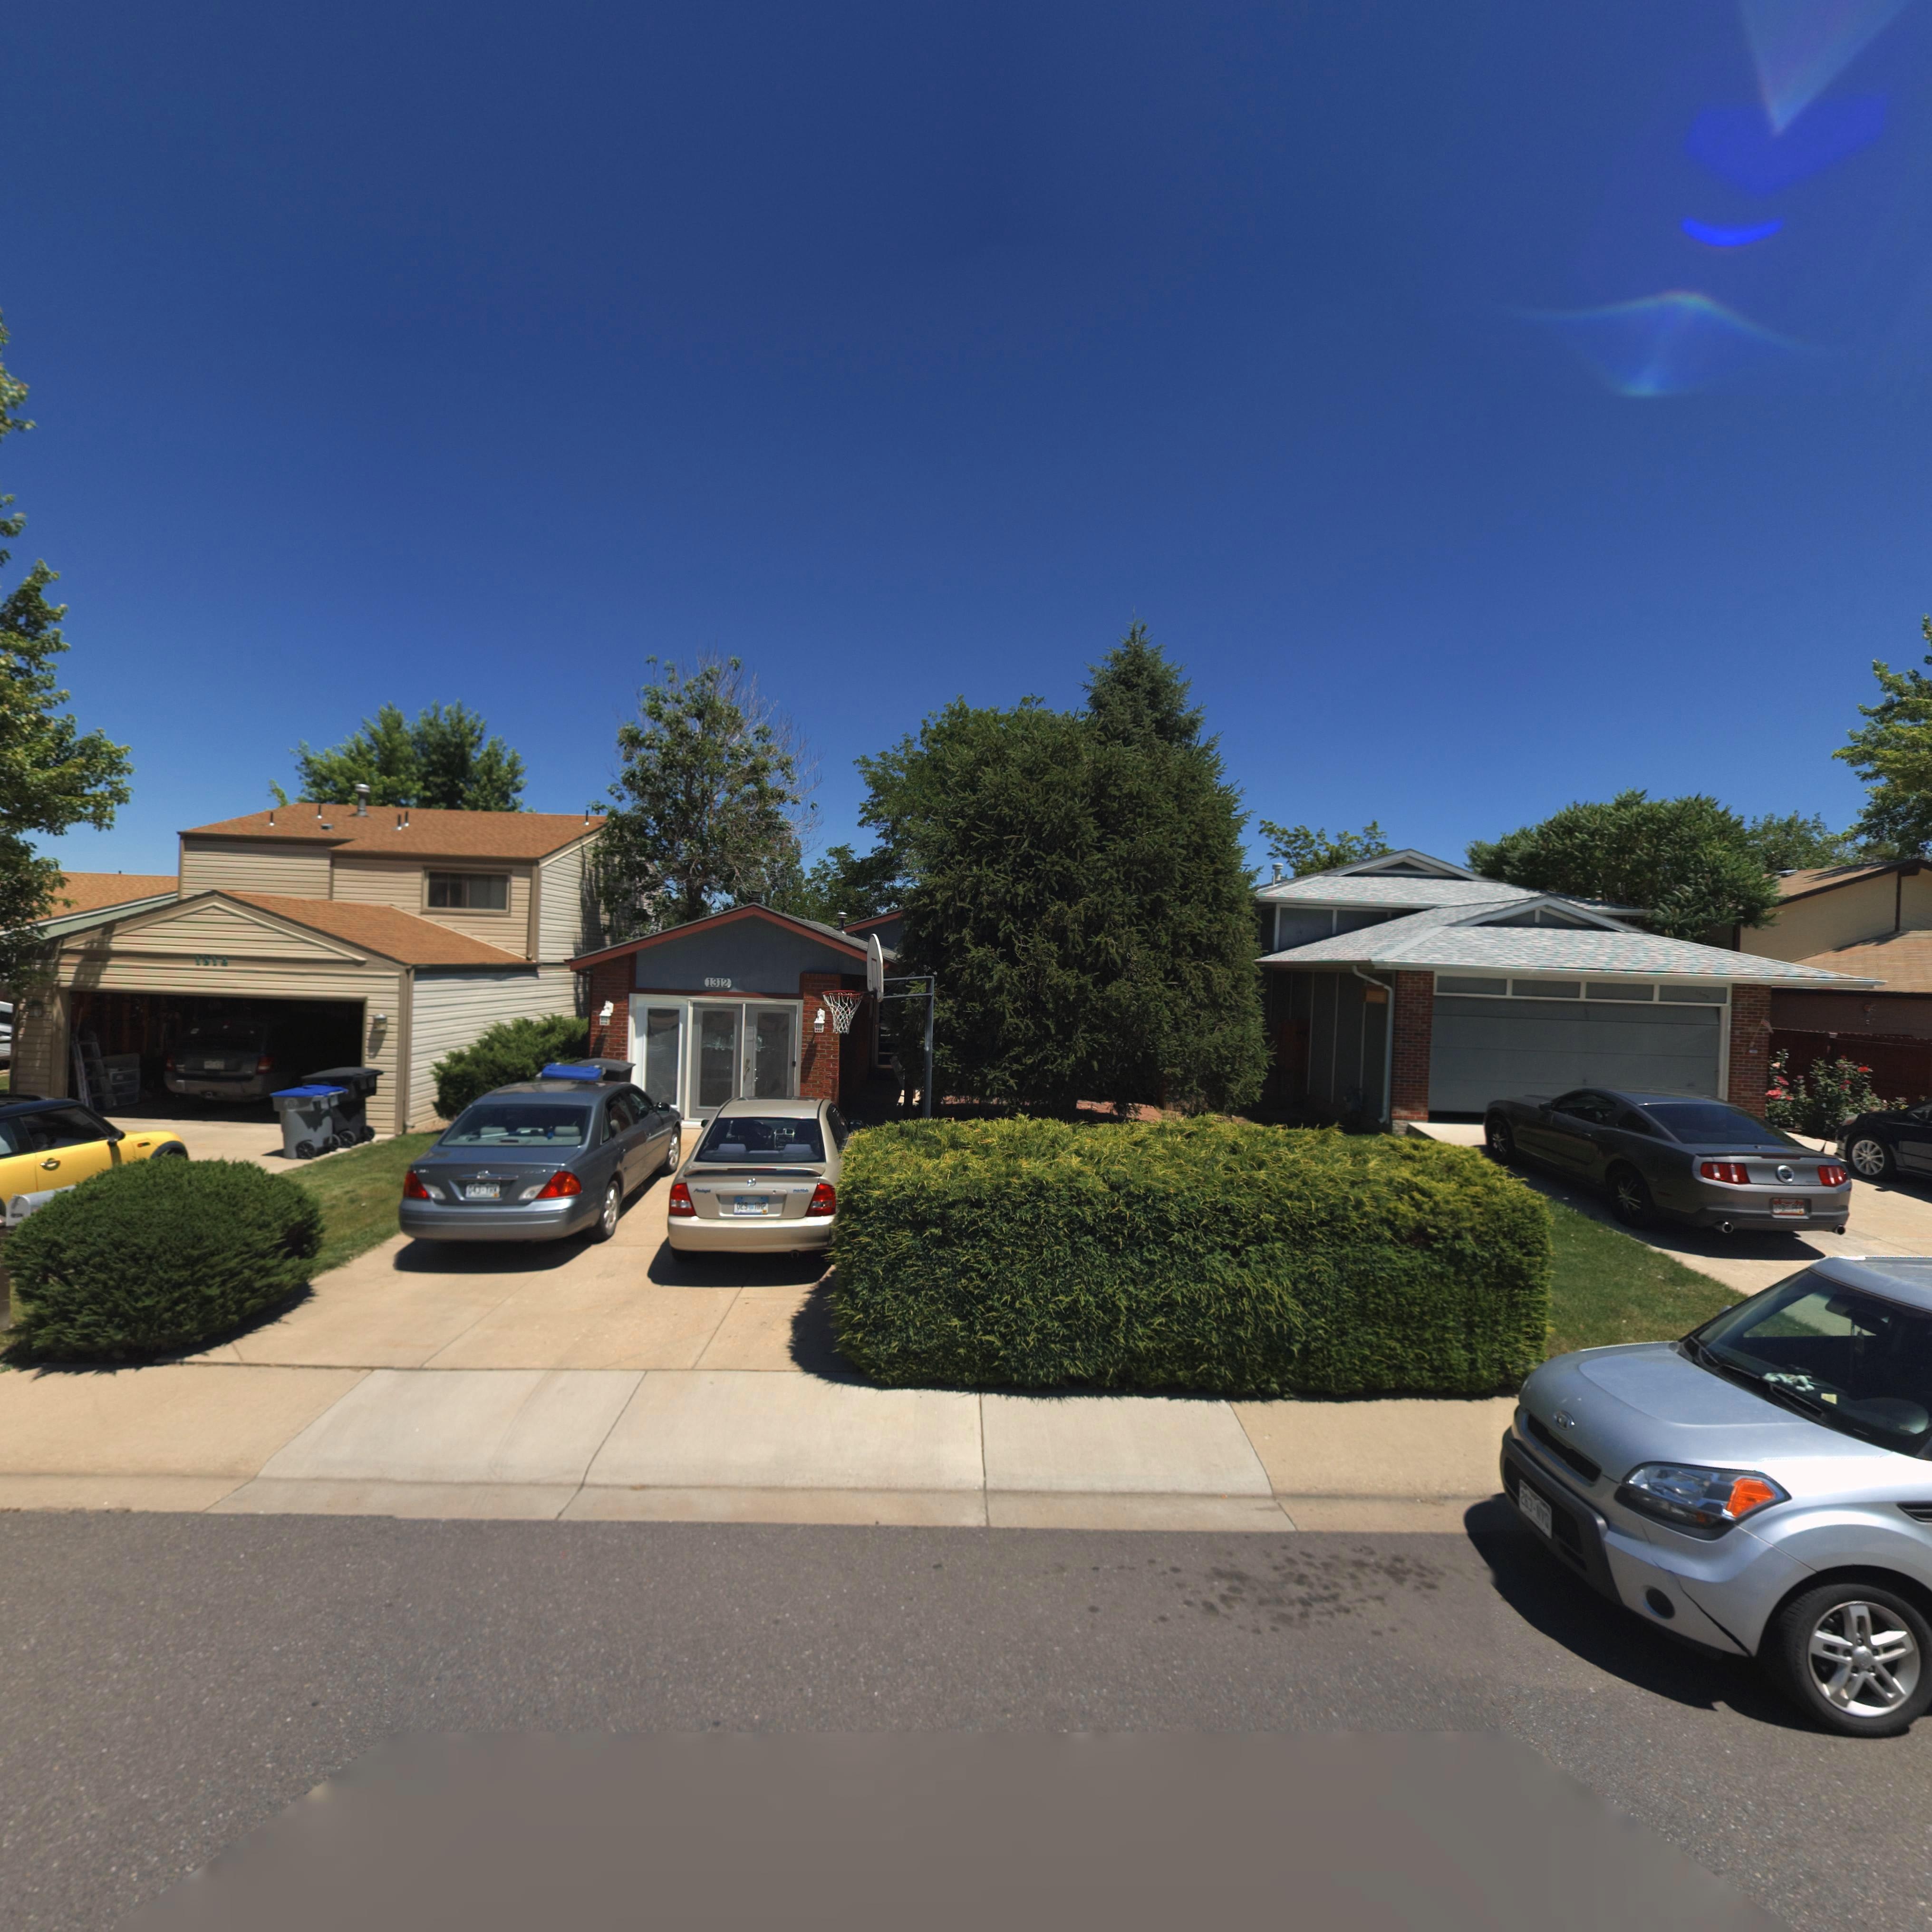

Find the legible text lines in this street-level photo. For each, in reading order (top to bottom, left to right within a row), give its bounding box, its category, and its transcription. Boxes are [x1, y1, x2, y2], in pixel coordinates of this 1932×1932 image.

[196, 955, 227, 967] StreetNumber: 1314
[707, 978, 728, 986] StreetNumber: 1312